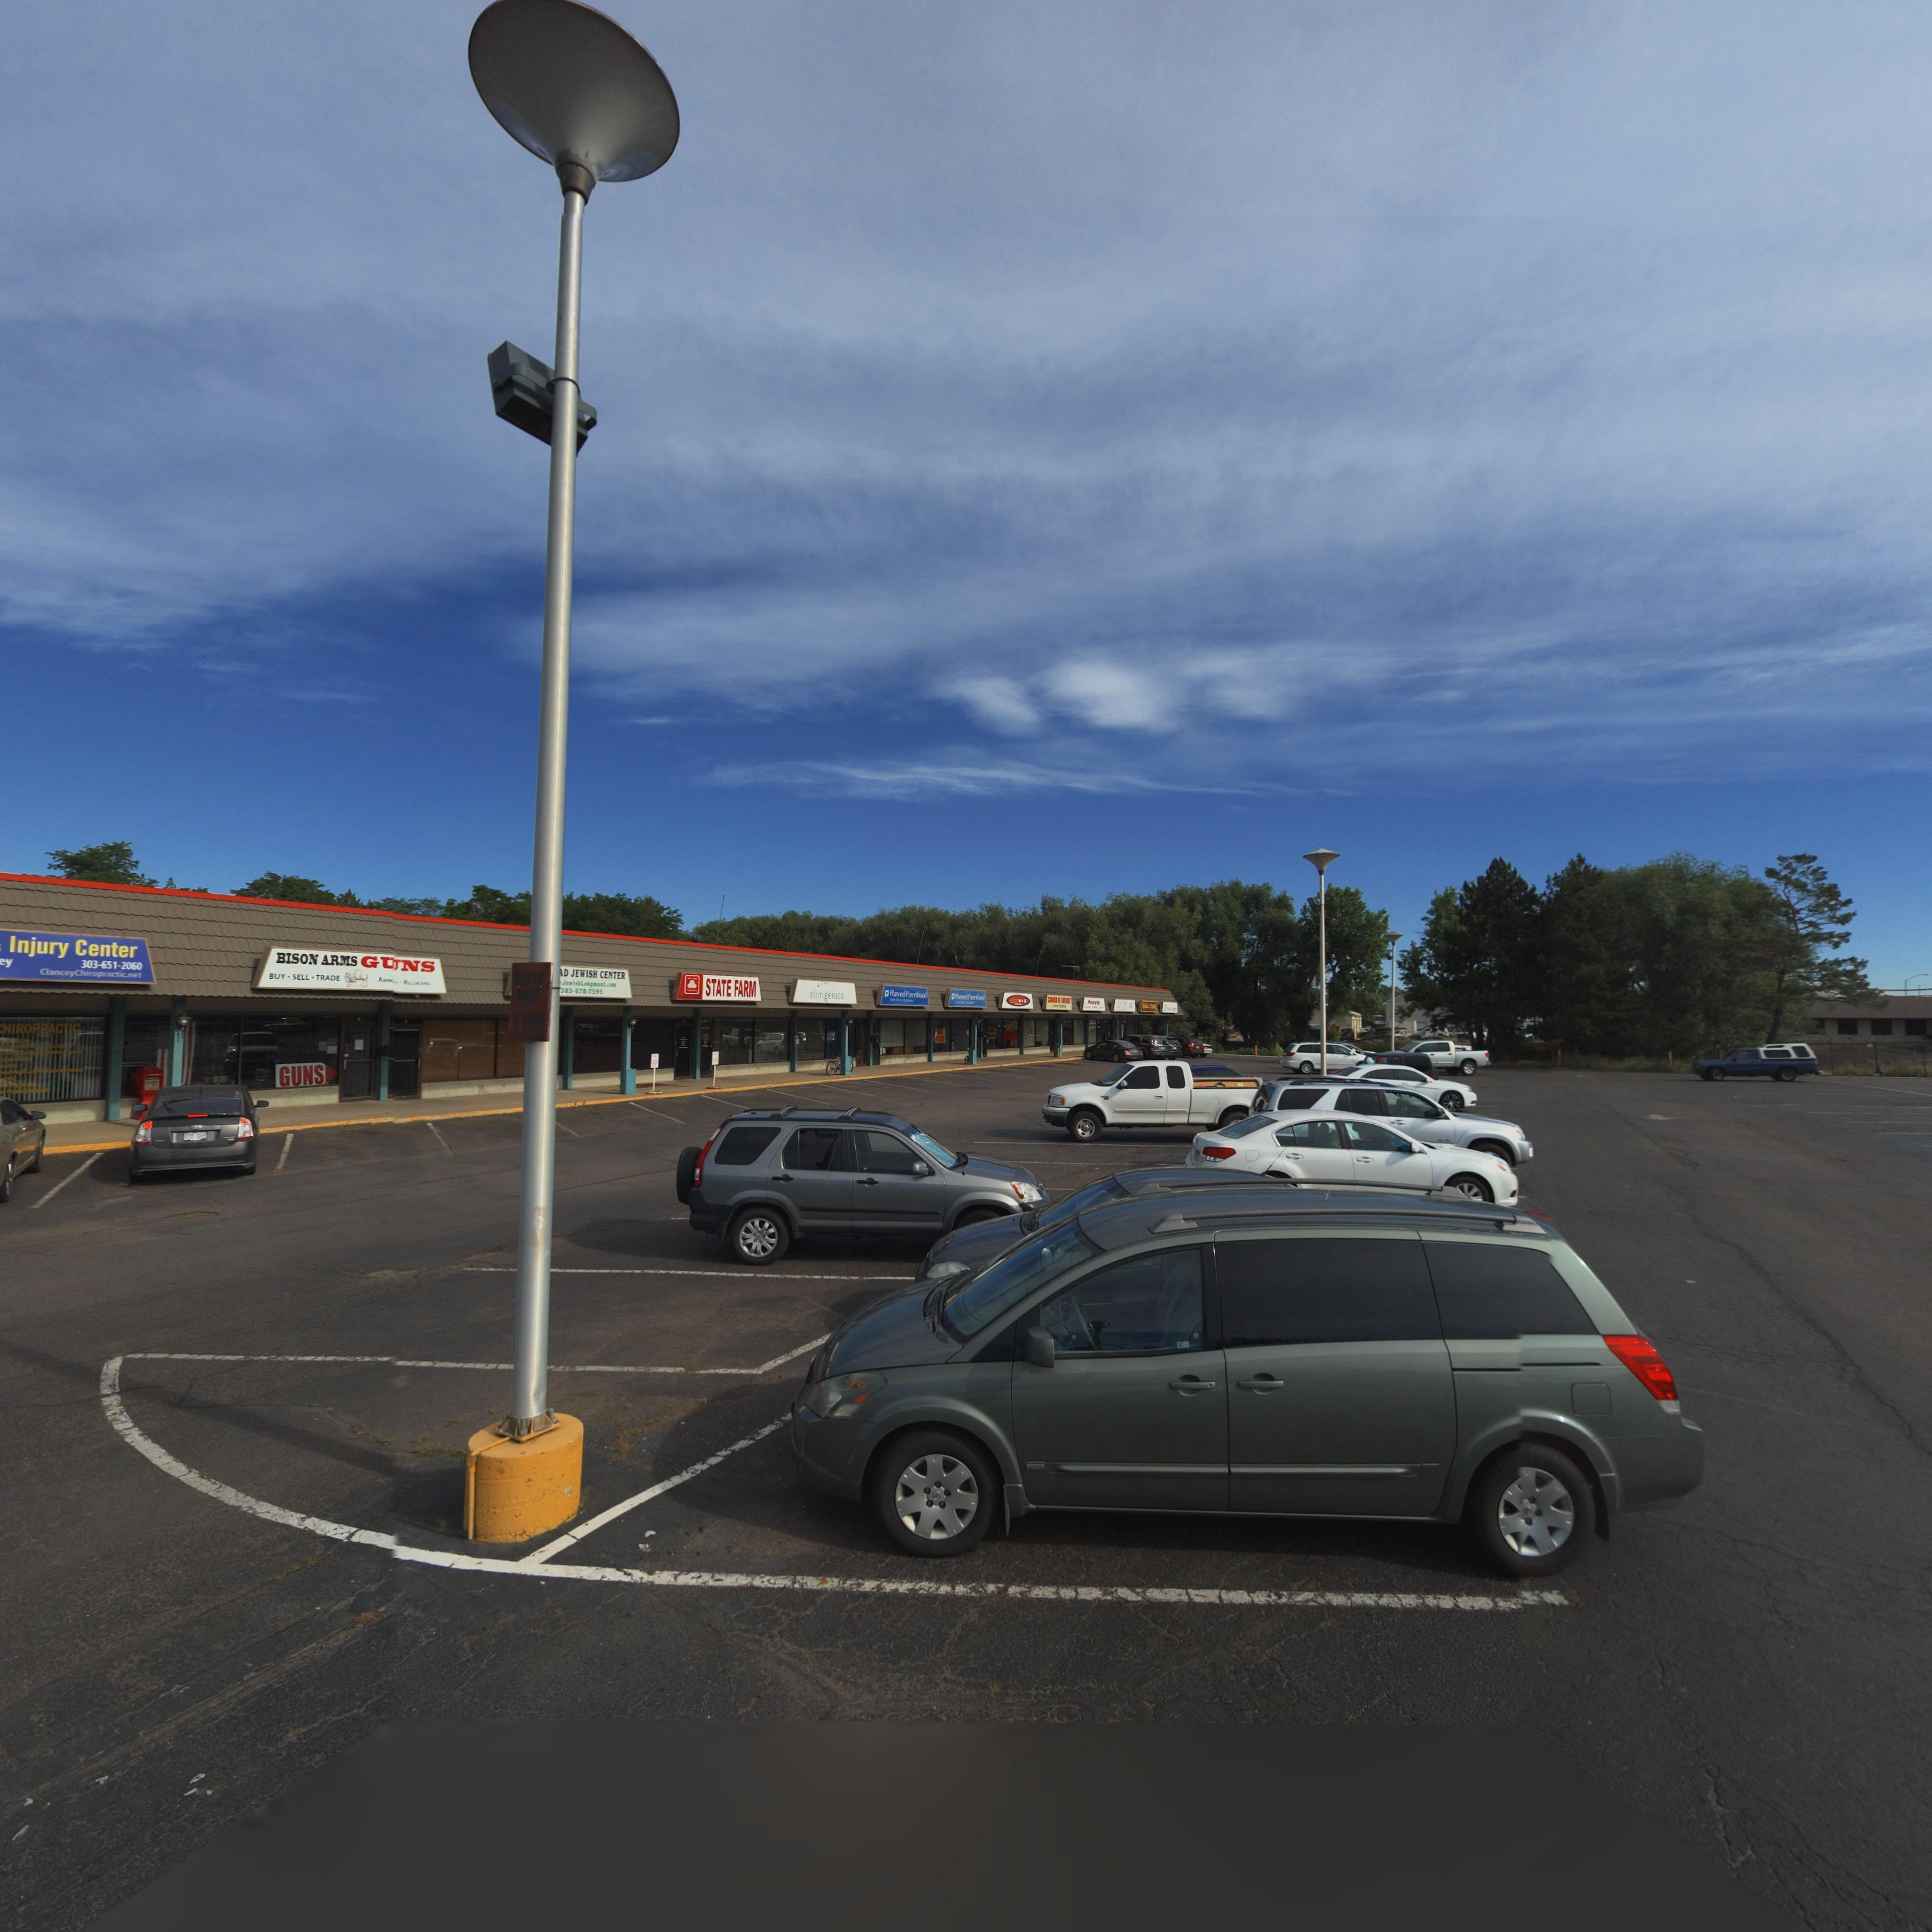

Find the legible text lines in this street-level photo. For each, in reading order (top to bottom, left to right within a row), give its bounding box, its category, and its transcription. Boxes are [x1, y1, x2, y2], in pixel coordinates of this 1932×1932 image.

[9, 935, 138, 959] BusinessName: Injury Center
[275, 951, 435, 973] BusinessName: BISON ARMS GU*NS
[560, 968, 625, 979] BusinessName: *D JEWISH CENTER
[704, 977, 757, 998] BusinessName: STATE FARM
[809, 988, 844, 1002] BusinessName: slimgenics
[889, 989, 927, 998] BusinessName: Planned Pa*e***ood
[955, 993, 985, 1001] BusinessName: Planned P******ood